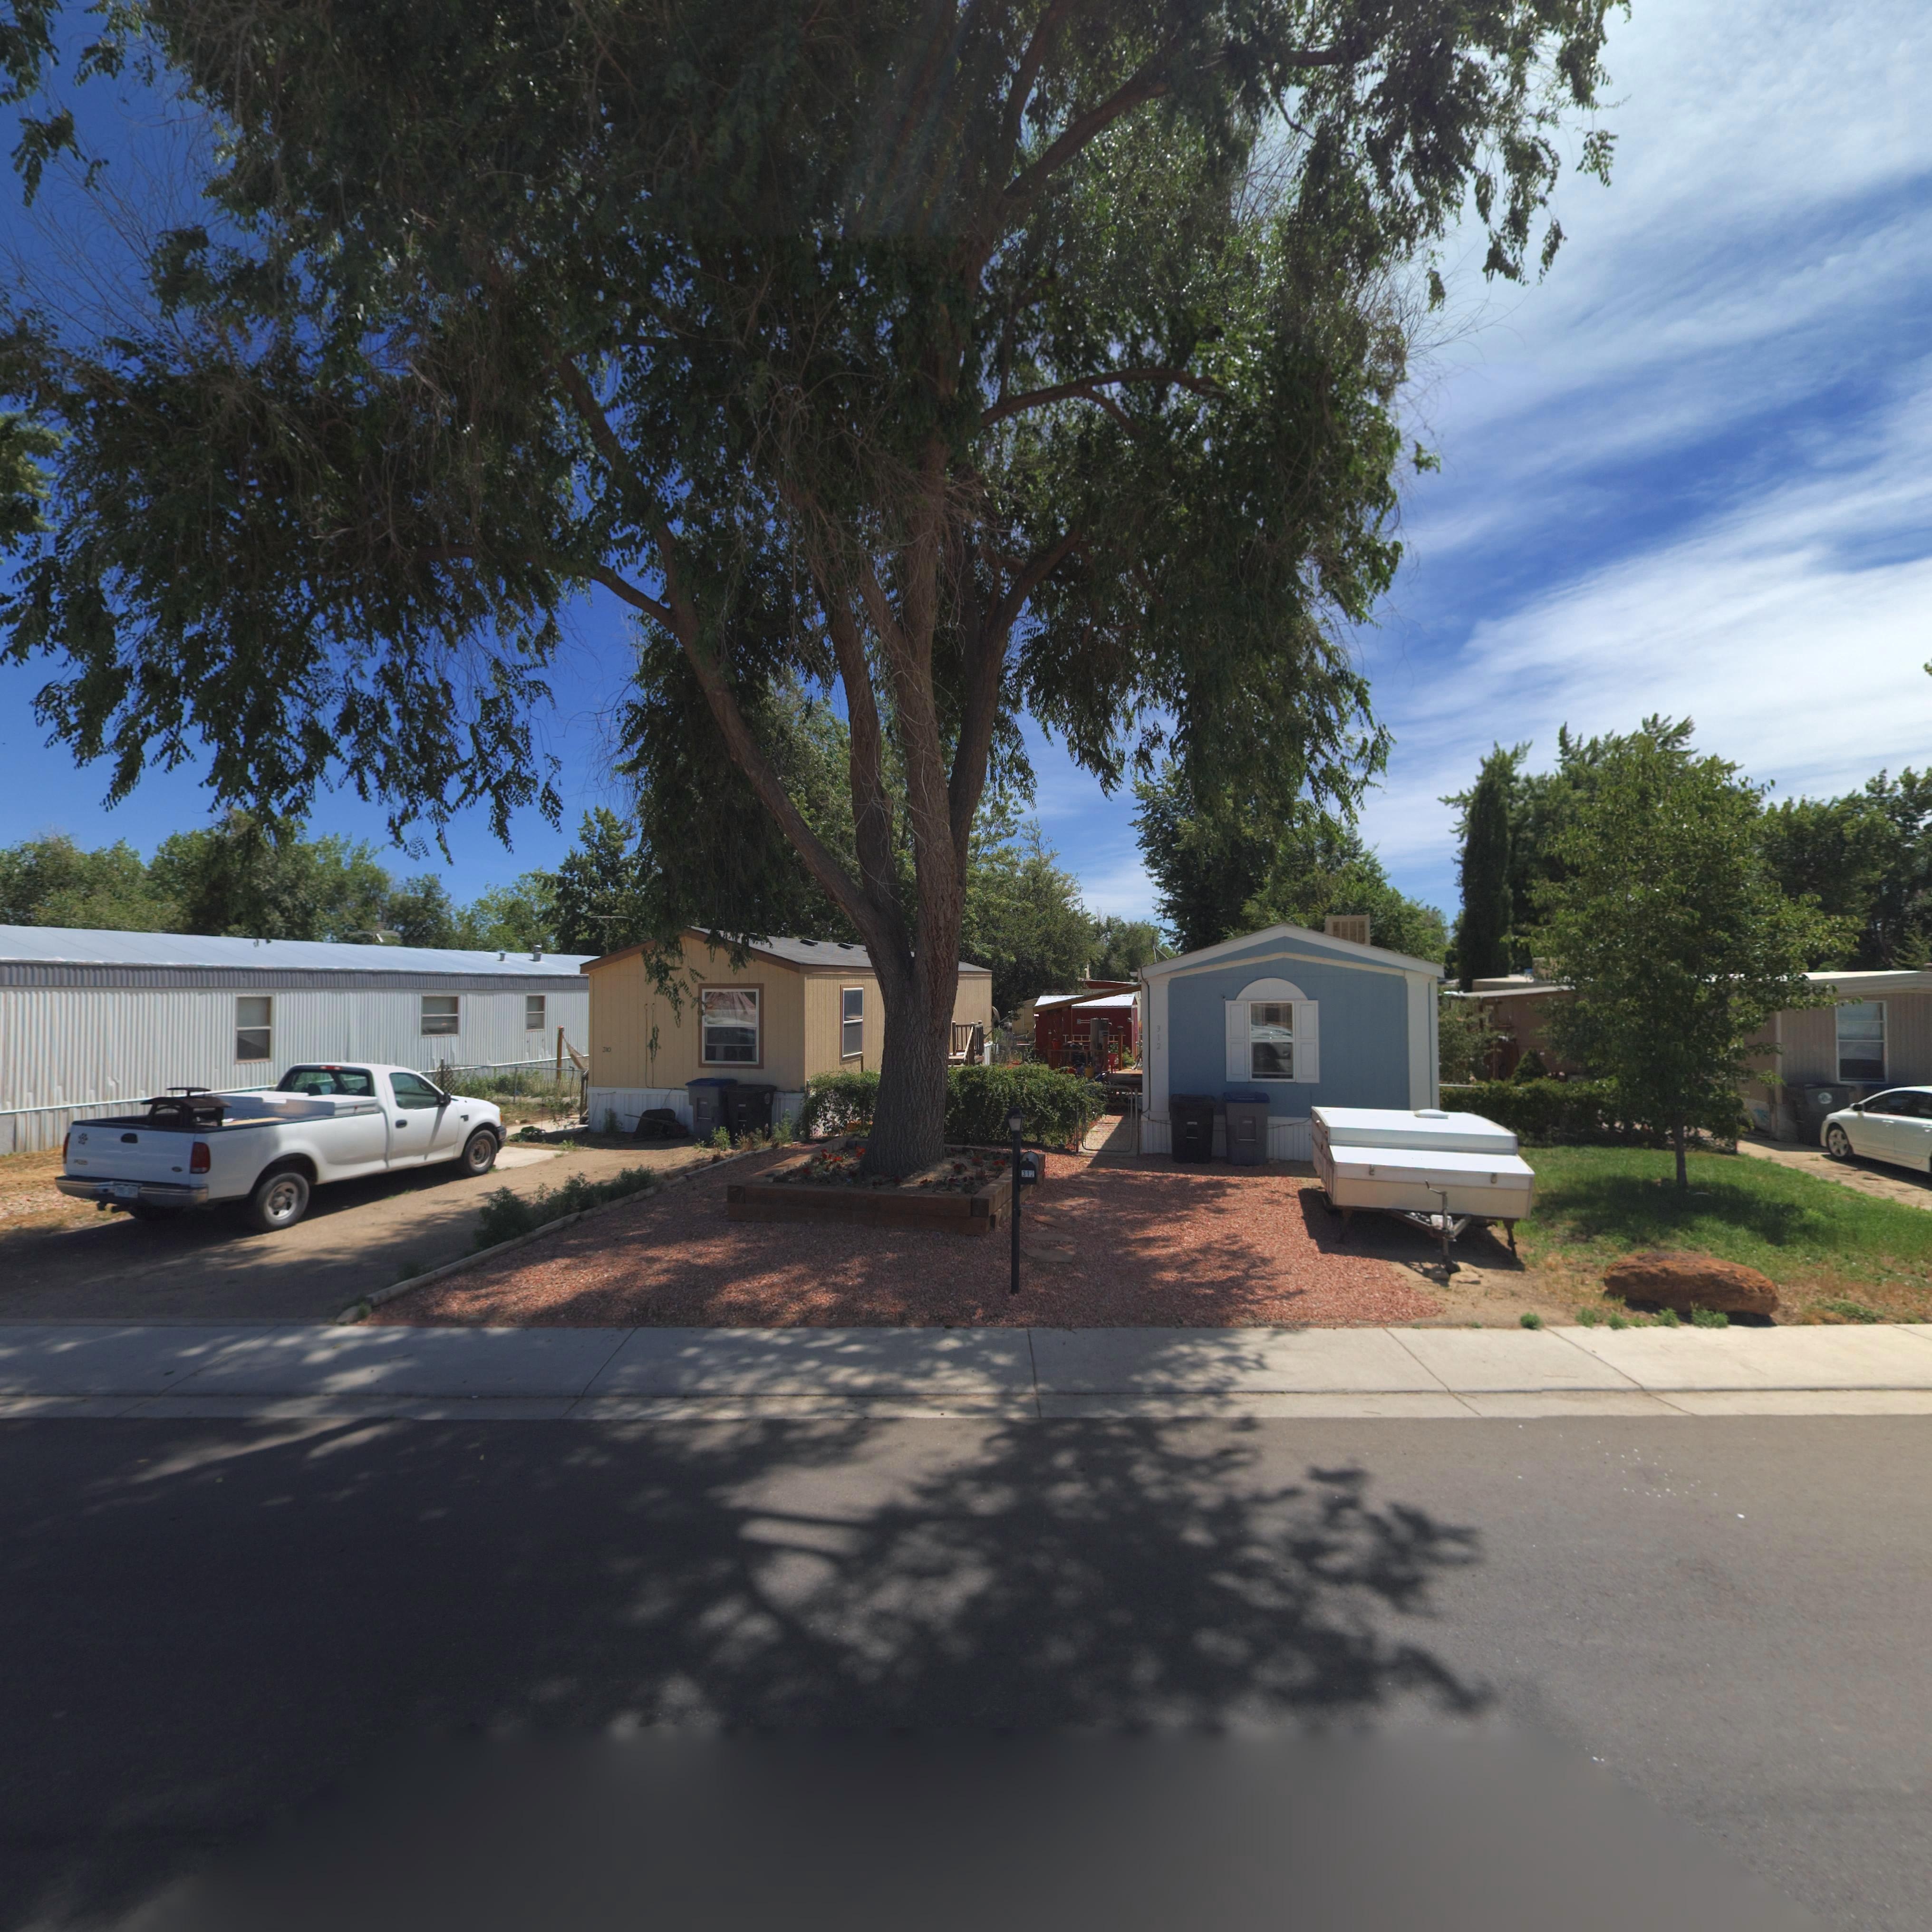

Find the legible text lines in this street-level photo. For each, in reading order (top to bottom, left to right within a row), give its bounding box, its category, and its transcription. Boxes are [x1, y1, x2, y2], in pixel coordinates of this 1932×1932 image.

[1155, 1024, 1162, 1051] StreetNumber: 312
[601, 1046, 611, 1052] StreetNumber: 310
[1022, 1170, 1034, 1177] StreetNumber: 312